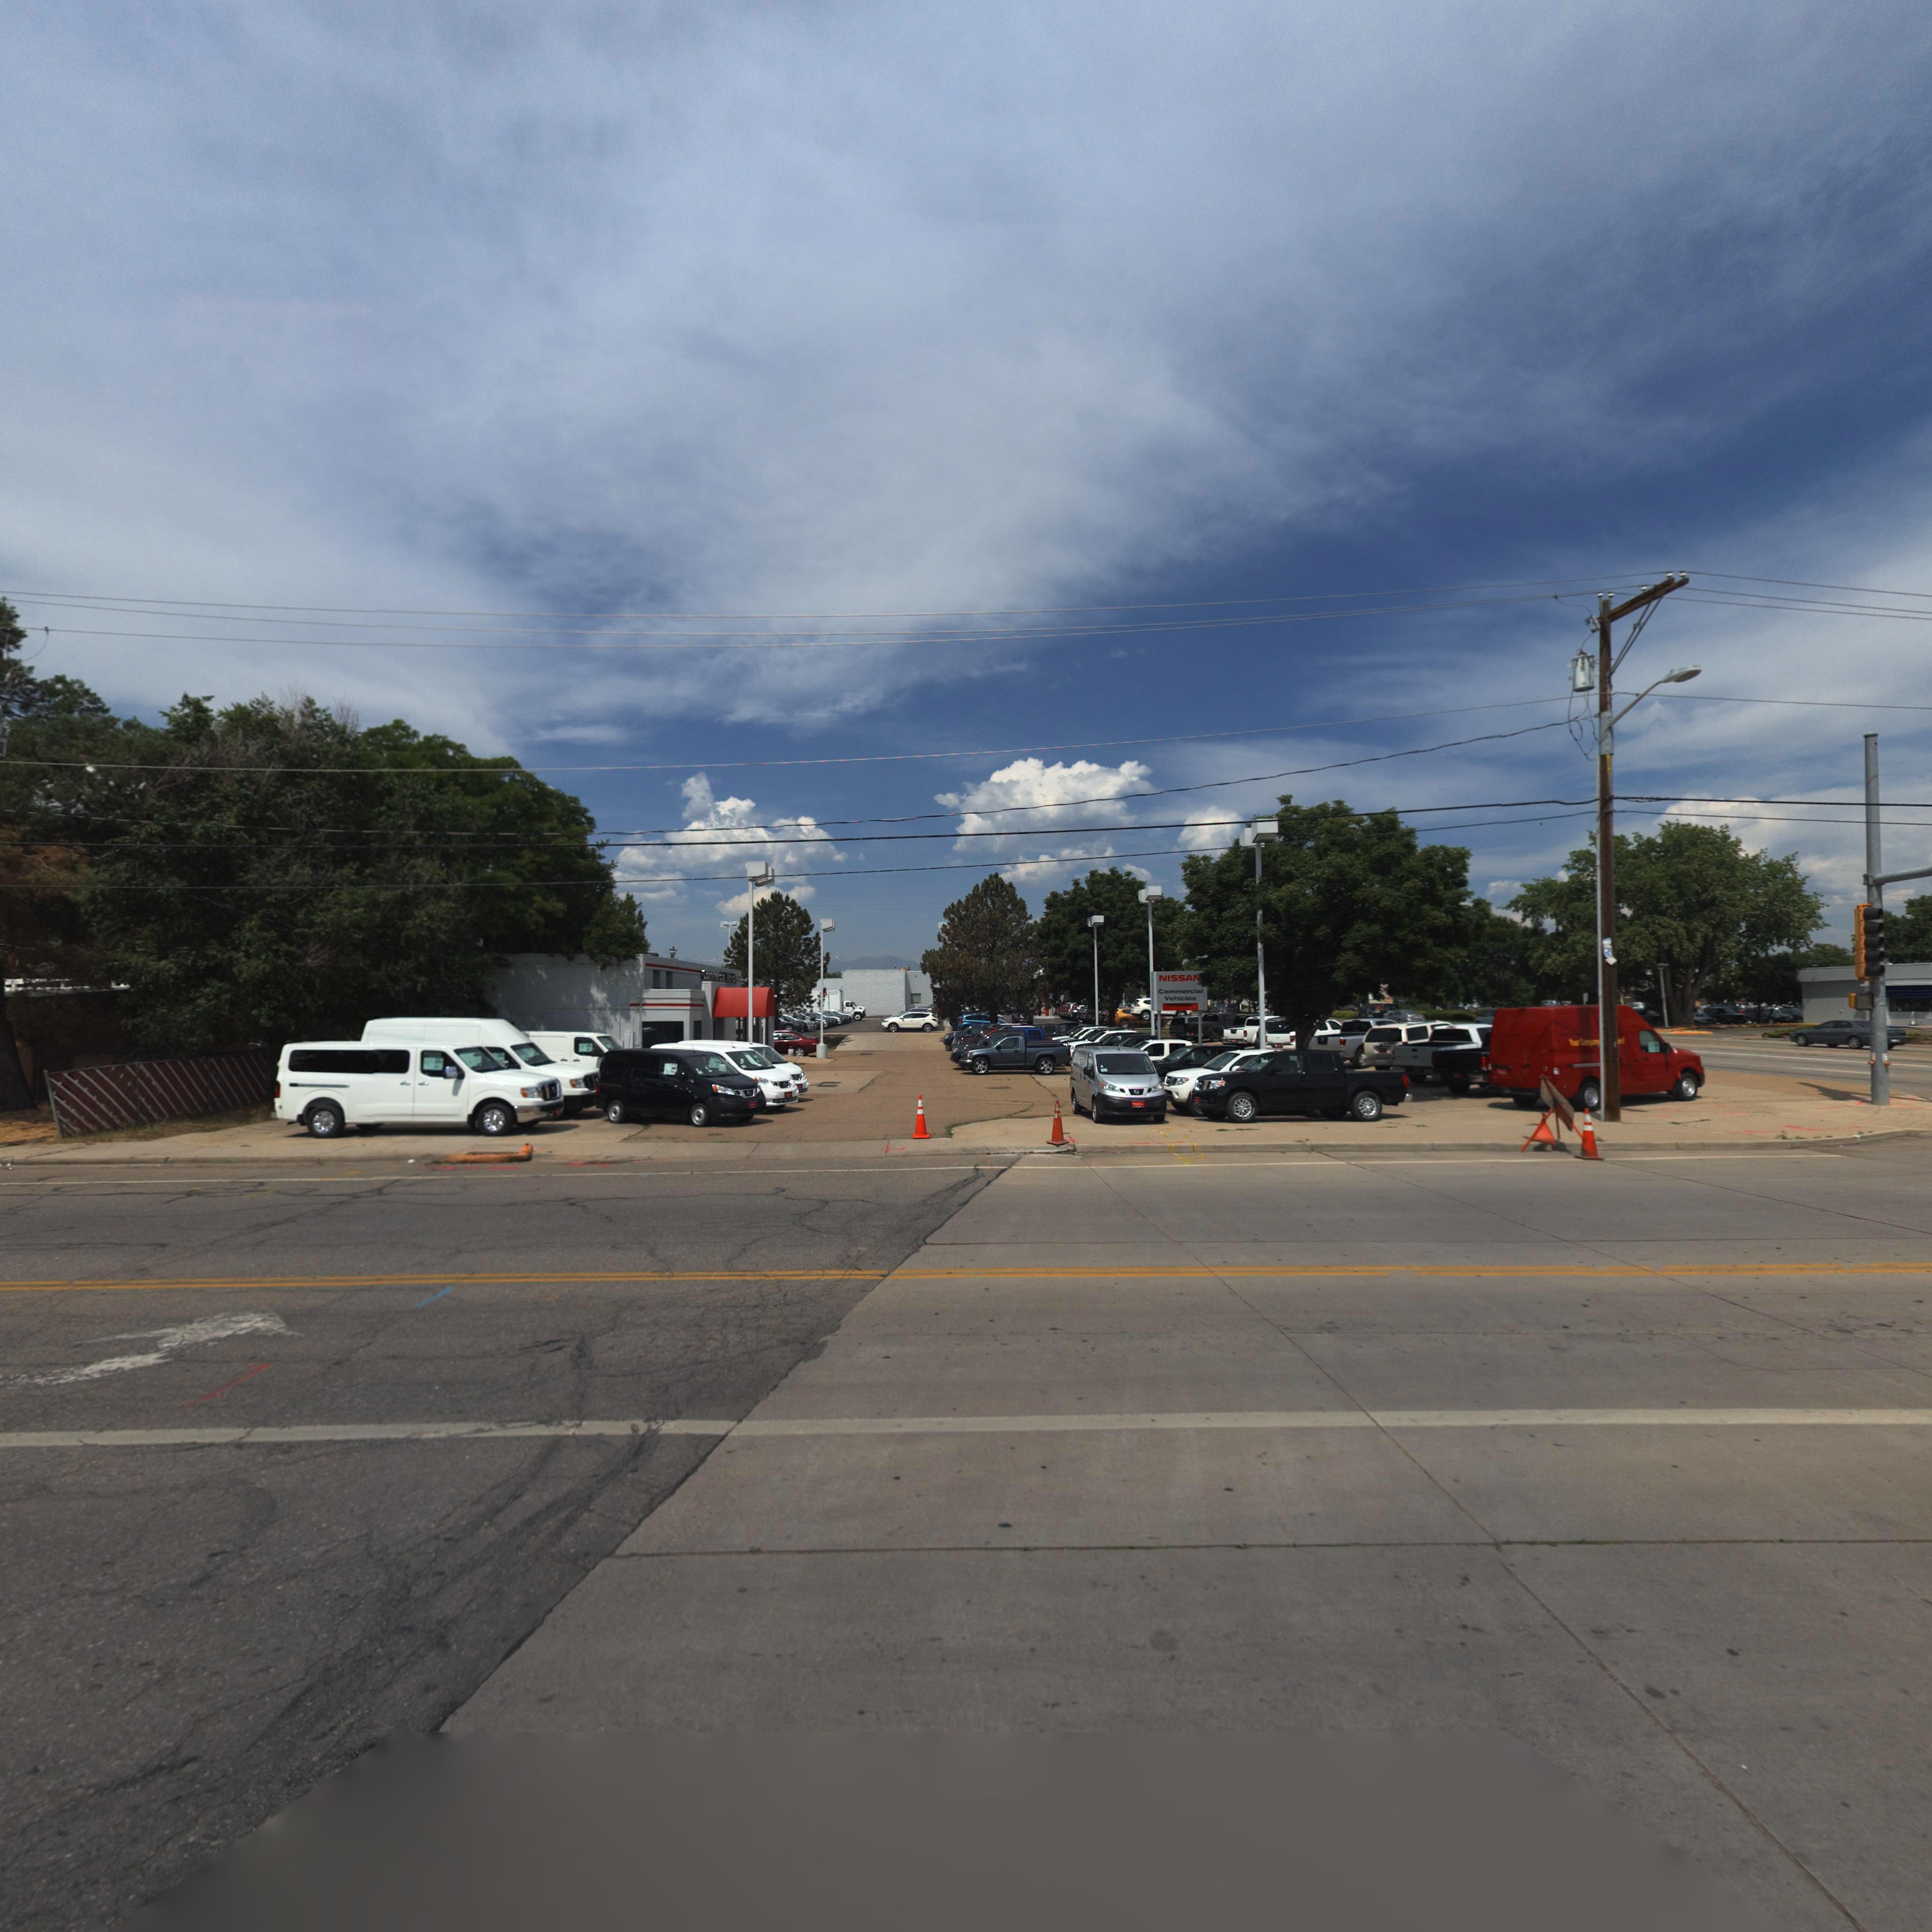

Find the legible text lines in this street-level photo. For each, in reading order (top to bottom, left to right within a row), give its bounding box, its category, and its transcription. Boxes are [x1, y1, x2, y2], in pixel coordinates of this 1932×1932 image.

[1159, 974, 1200, 982] BusinessName: NISSAN